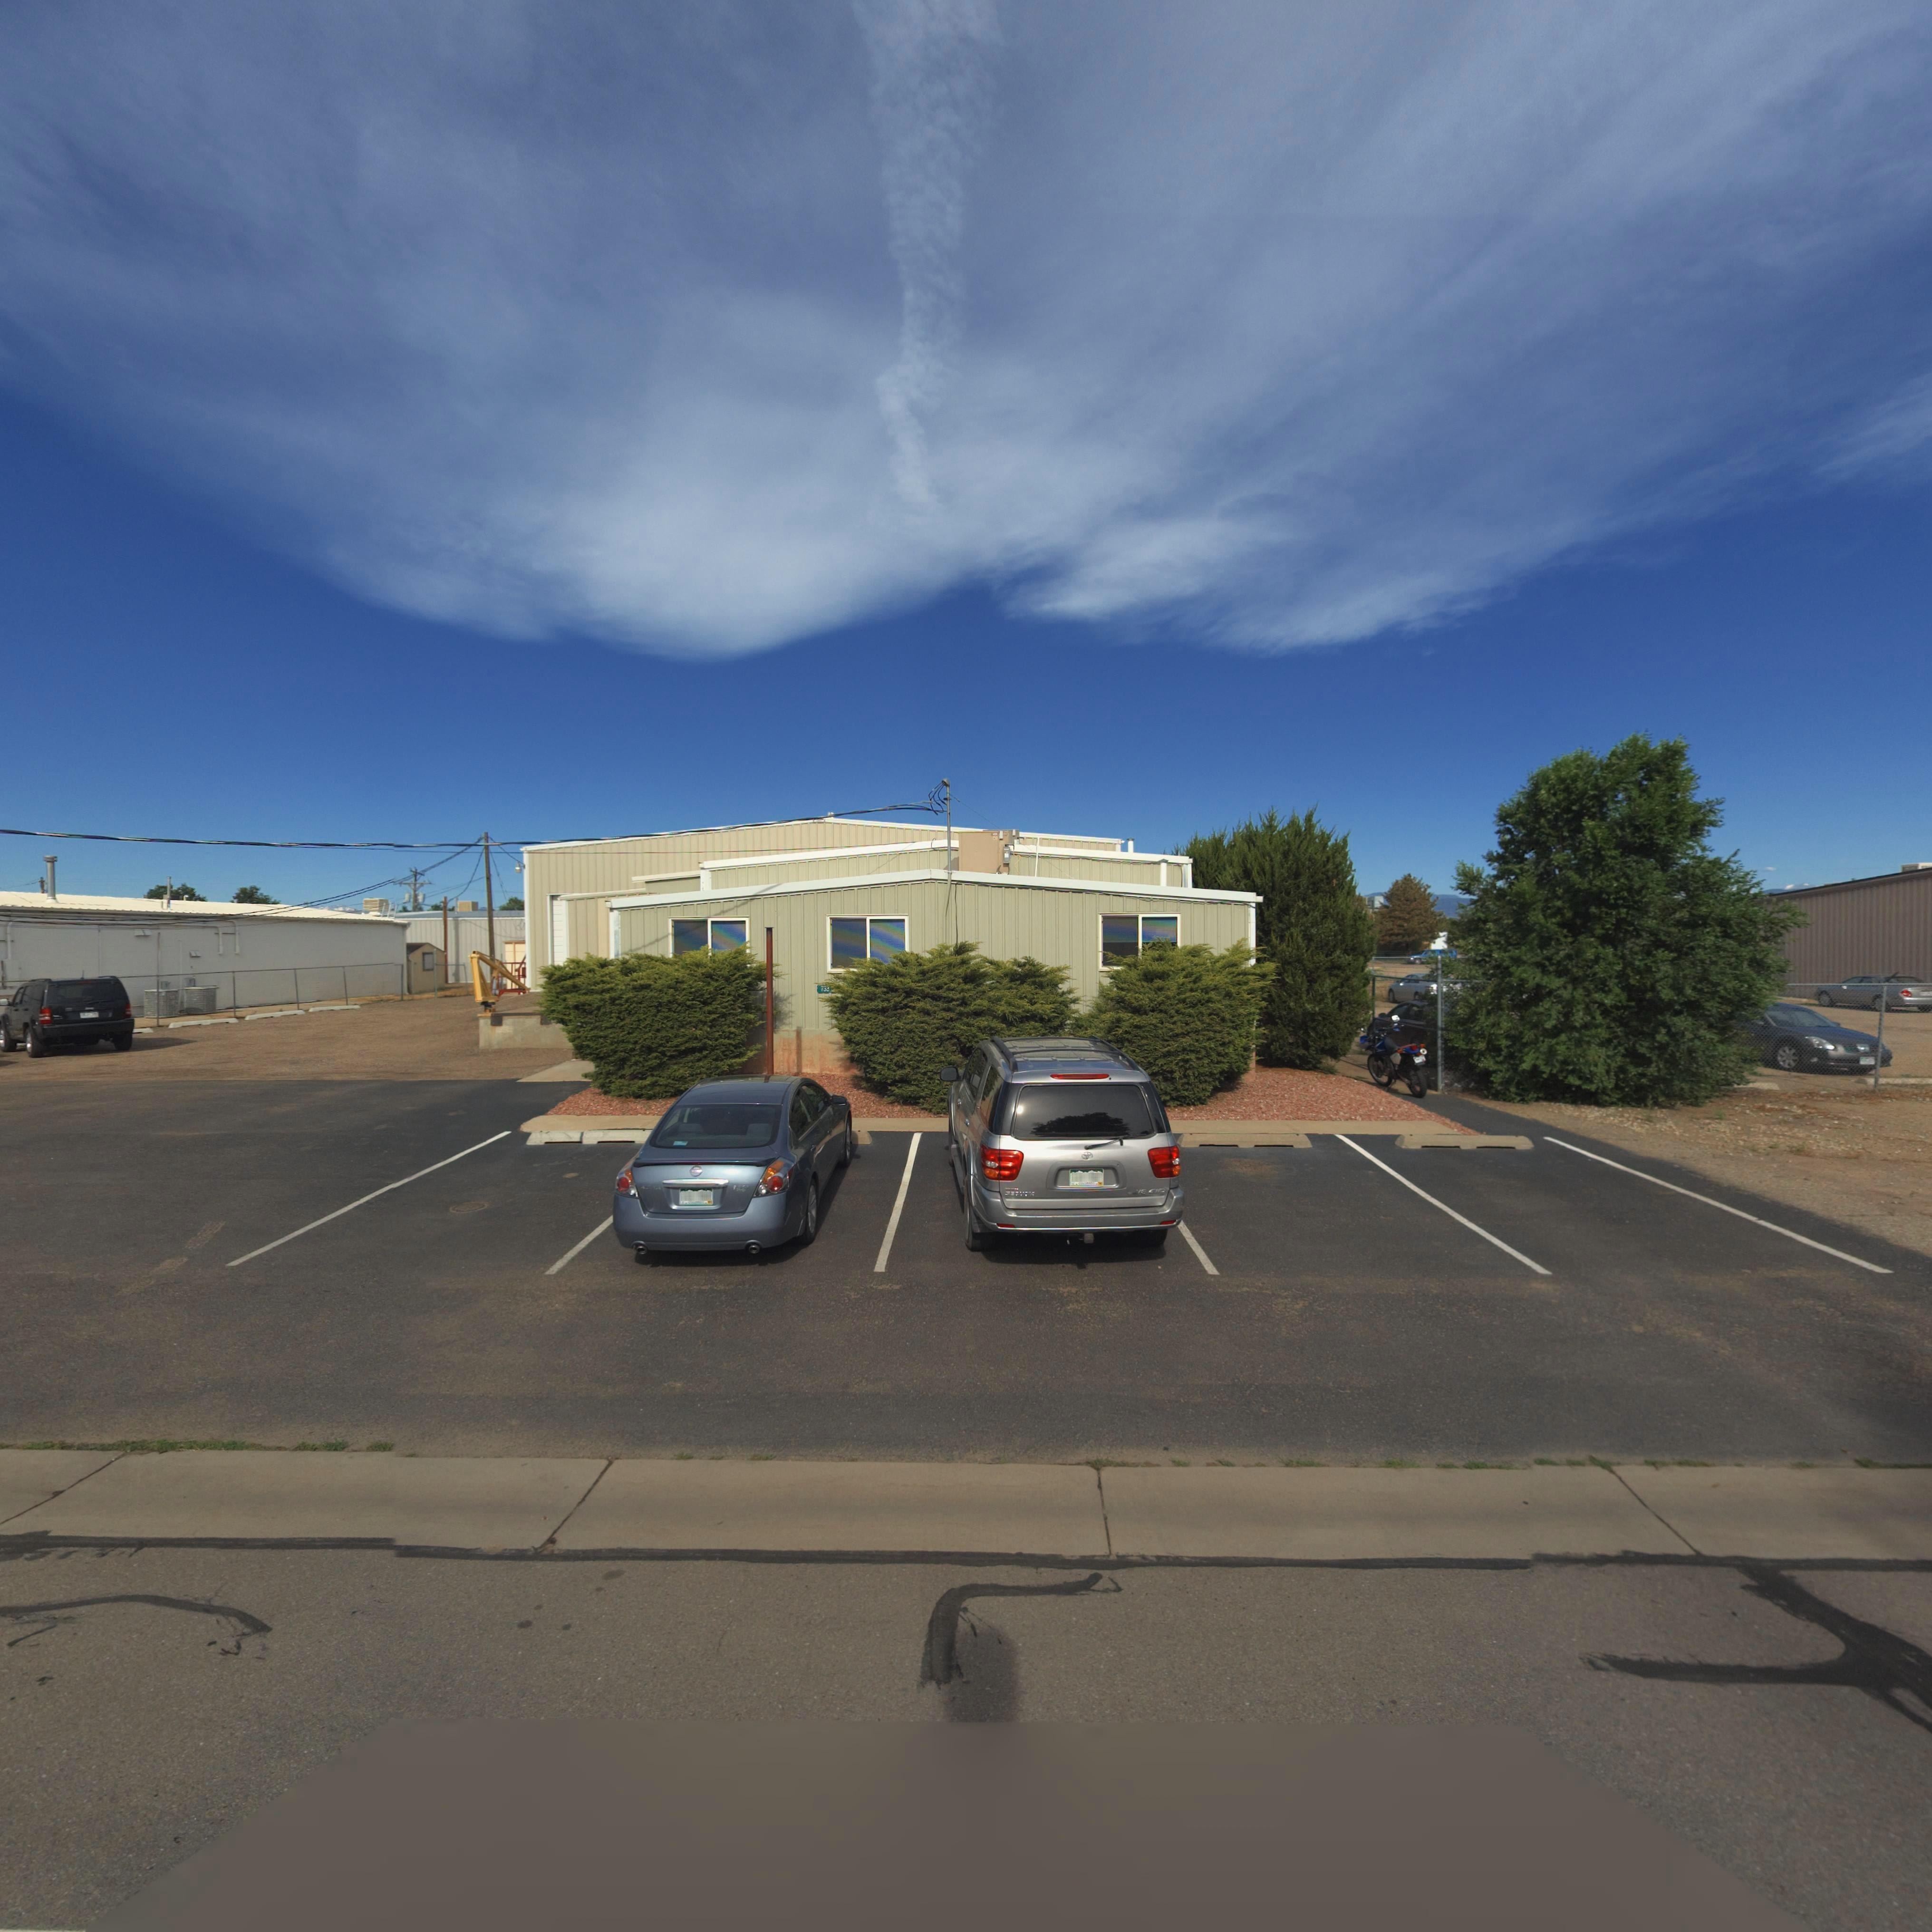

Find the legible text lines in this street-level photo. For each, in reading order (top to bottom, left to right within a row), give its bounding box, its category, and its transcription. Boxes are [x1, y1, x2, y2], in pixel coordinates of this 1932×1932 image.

[820, 985, 830, 992] StreetNumber: 7**